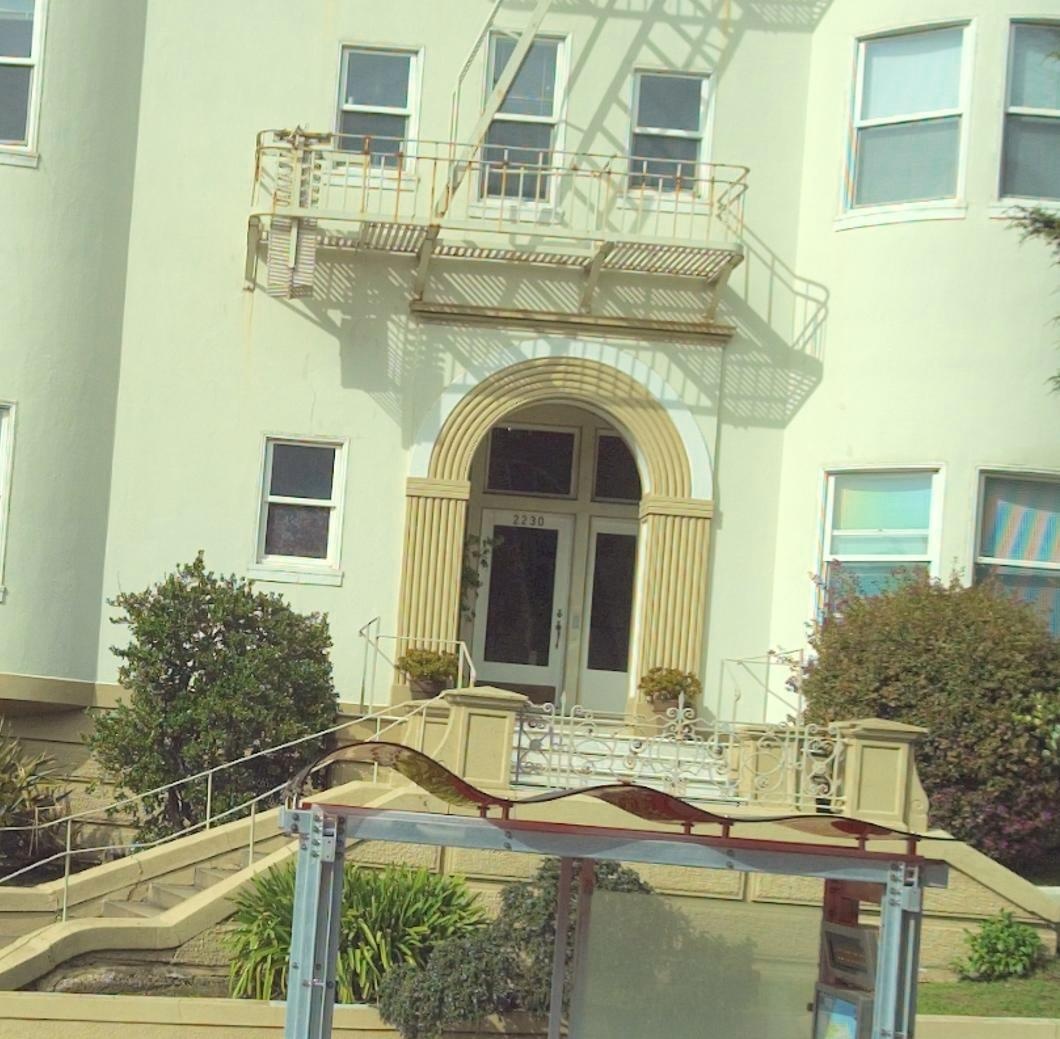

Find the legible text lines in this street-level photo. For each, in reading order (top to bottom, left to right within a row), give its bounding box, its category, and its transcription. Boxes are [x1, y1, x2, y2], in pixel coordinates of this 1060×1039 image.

[512, 513, 545, 528] StreetNumber: 2230